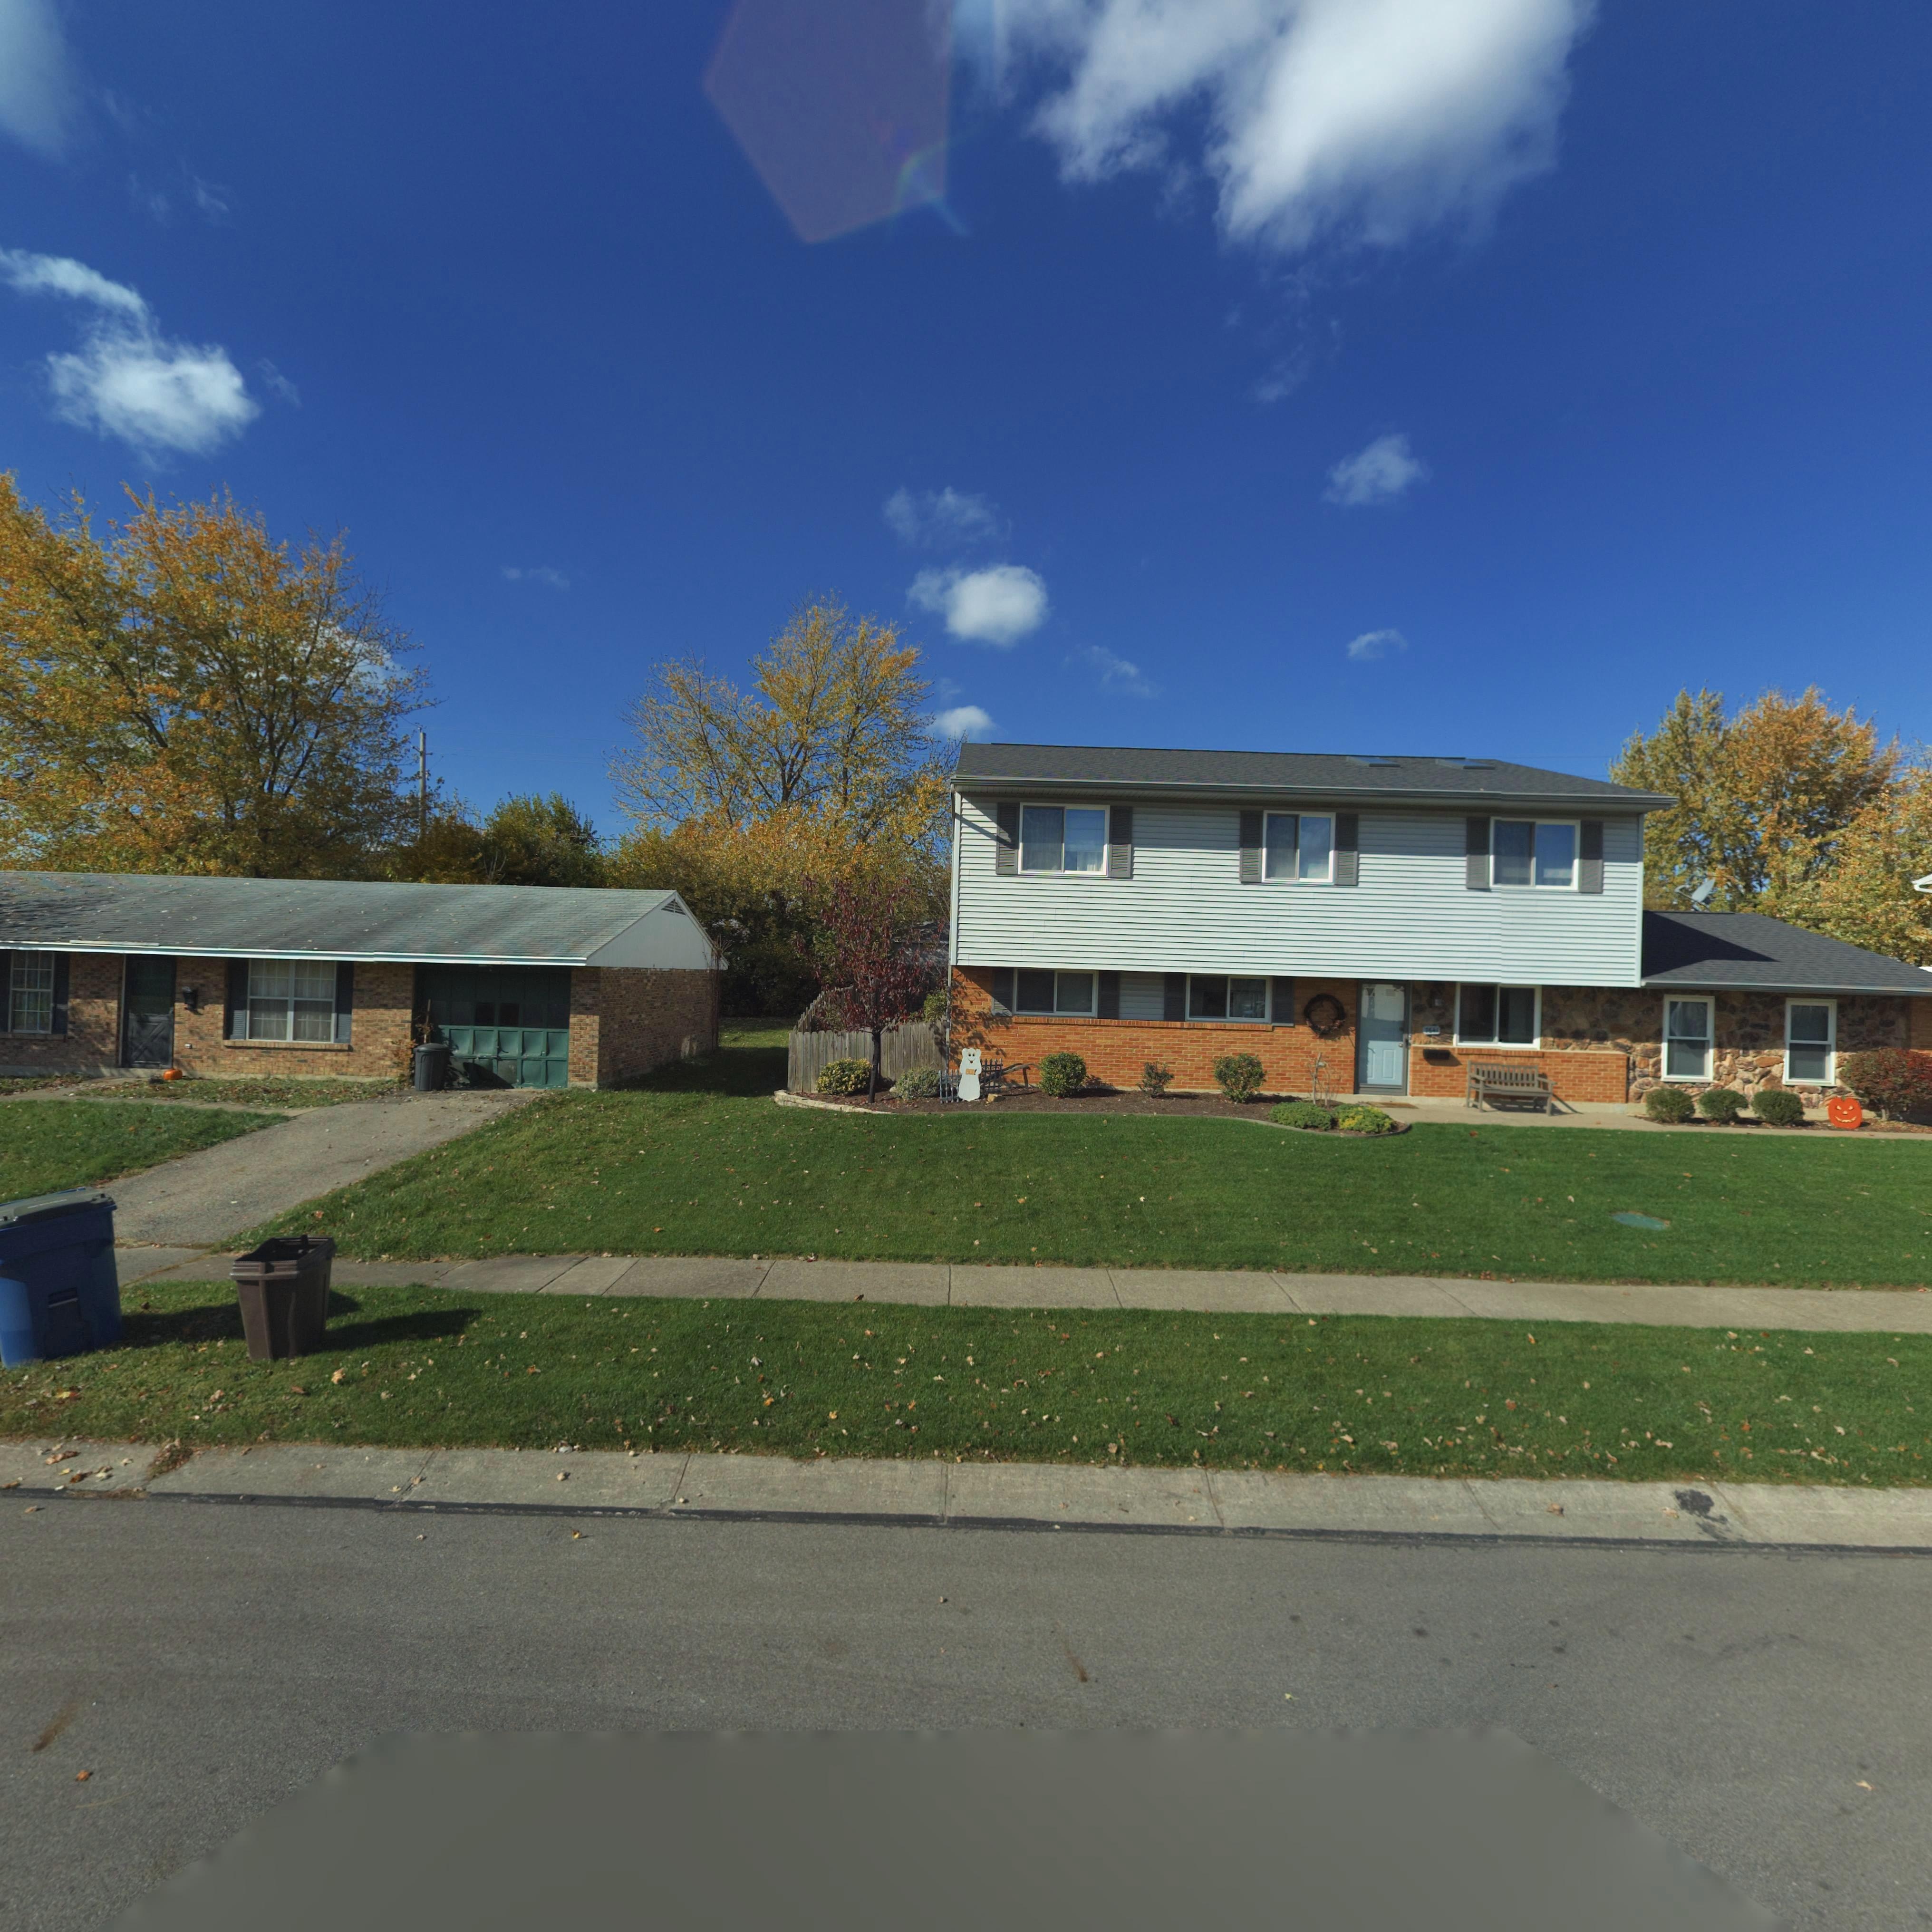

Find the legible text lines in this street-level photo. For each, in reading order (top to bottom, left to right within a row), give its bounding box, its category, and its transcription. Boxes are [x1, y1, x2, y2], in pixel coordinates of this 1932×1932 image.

[1423, 1027, 1440, 1034] StreetNumber: 7**1